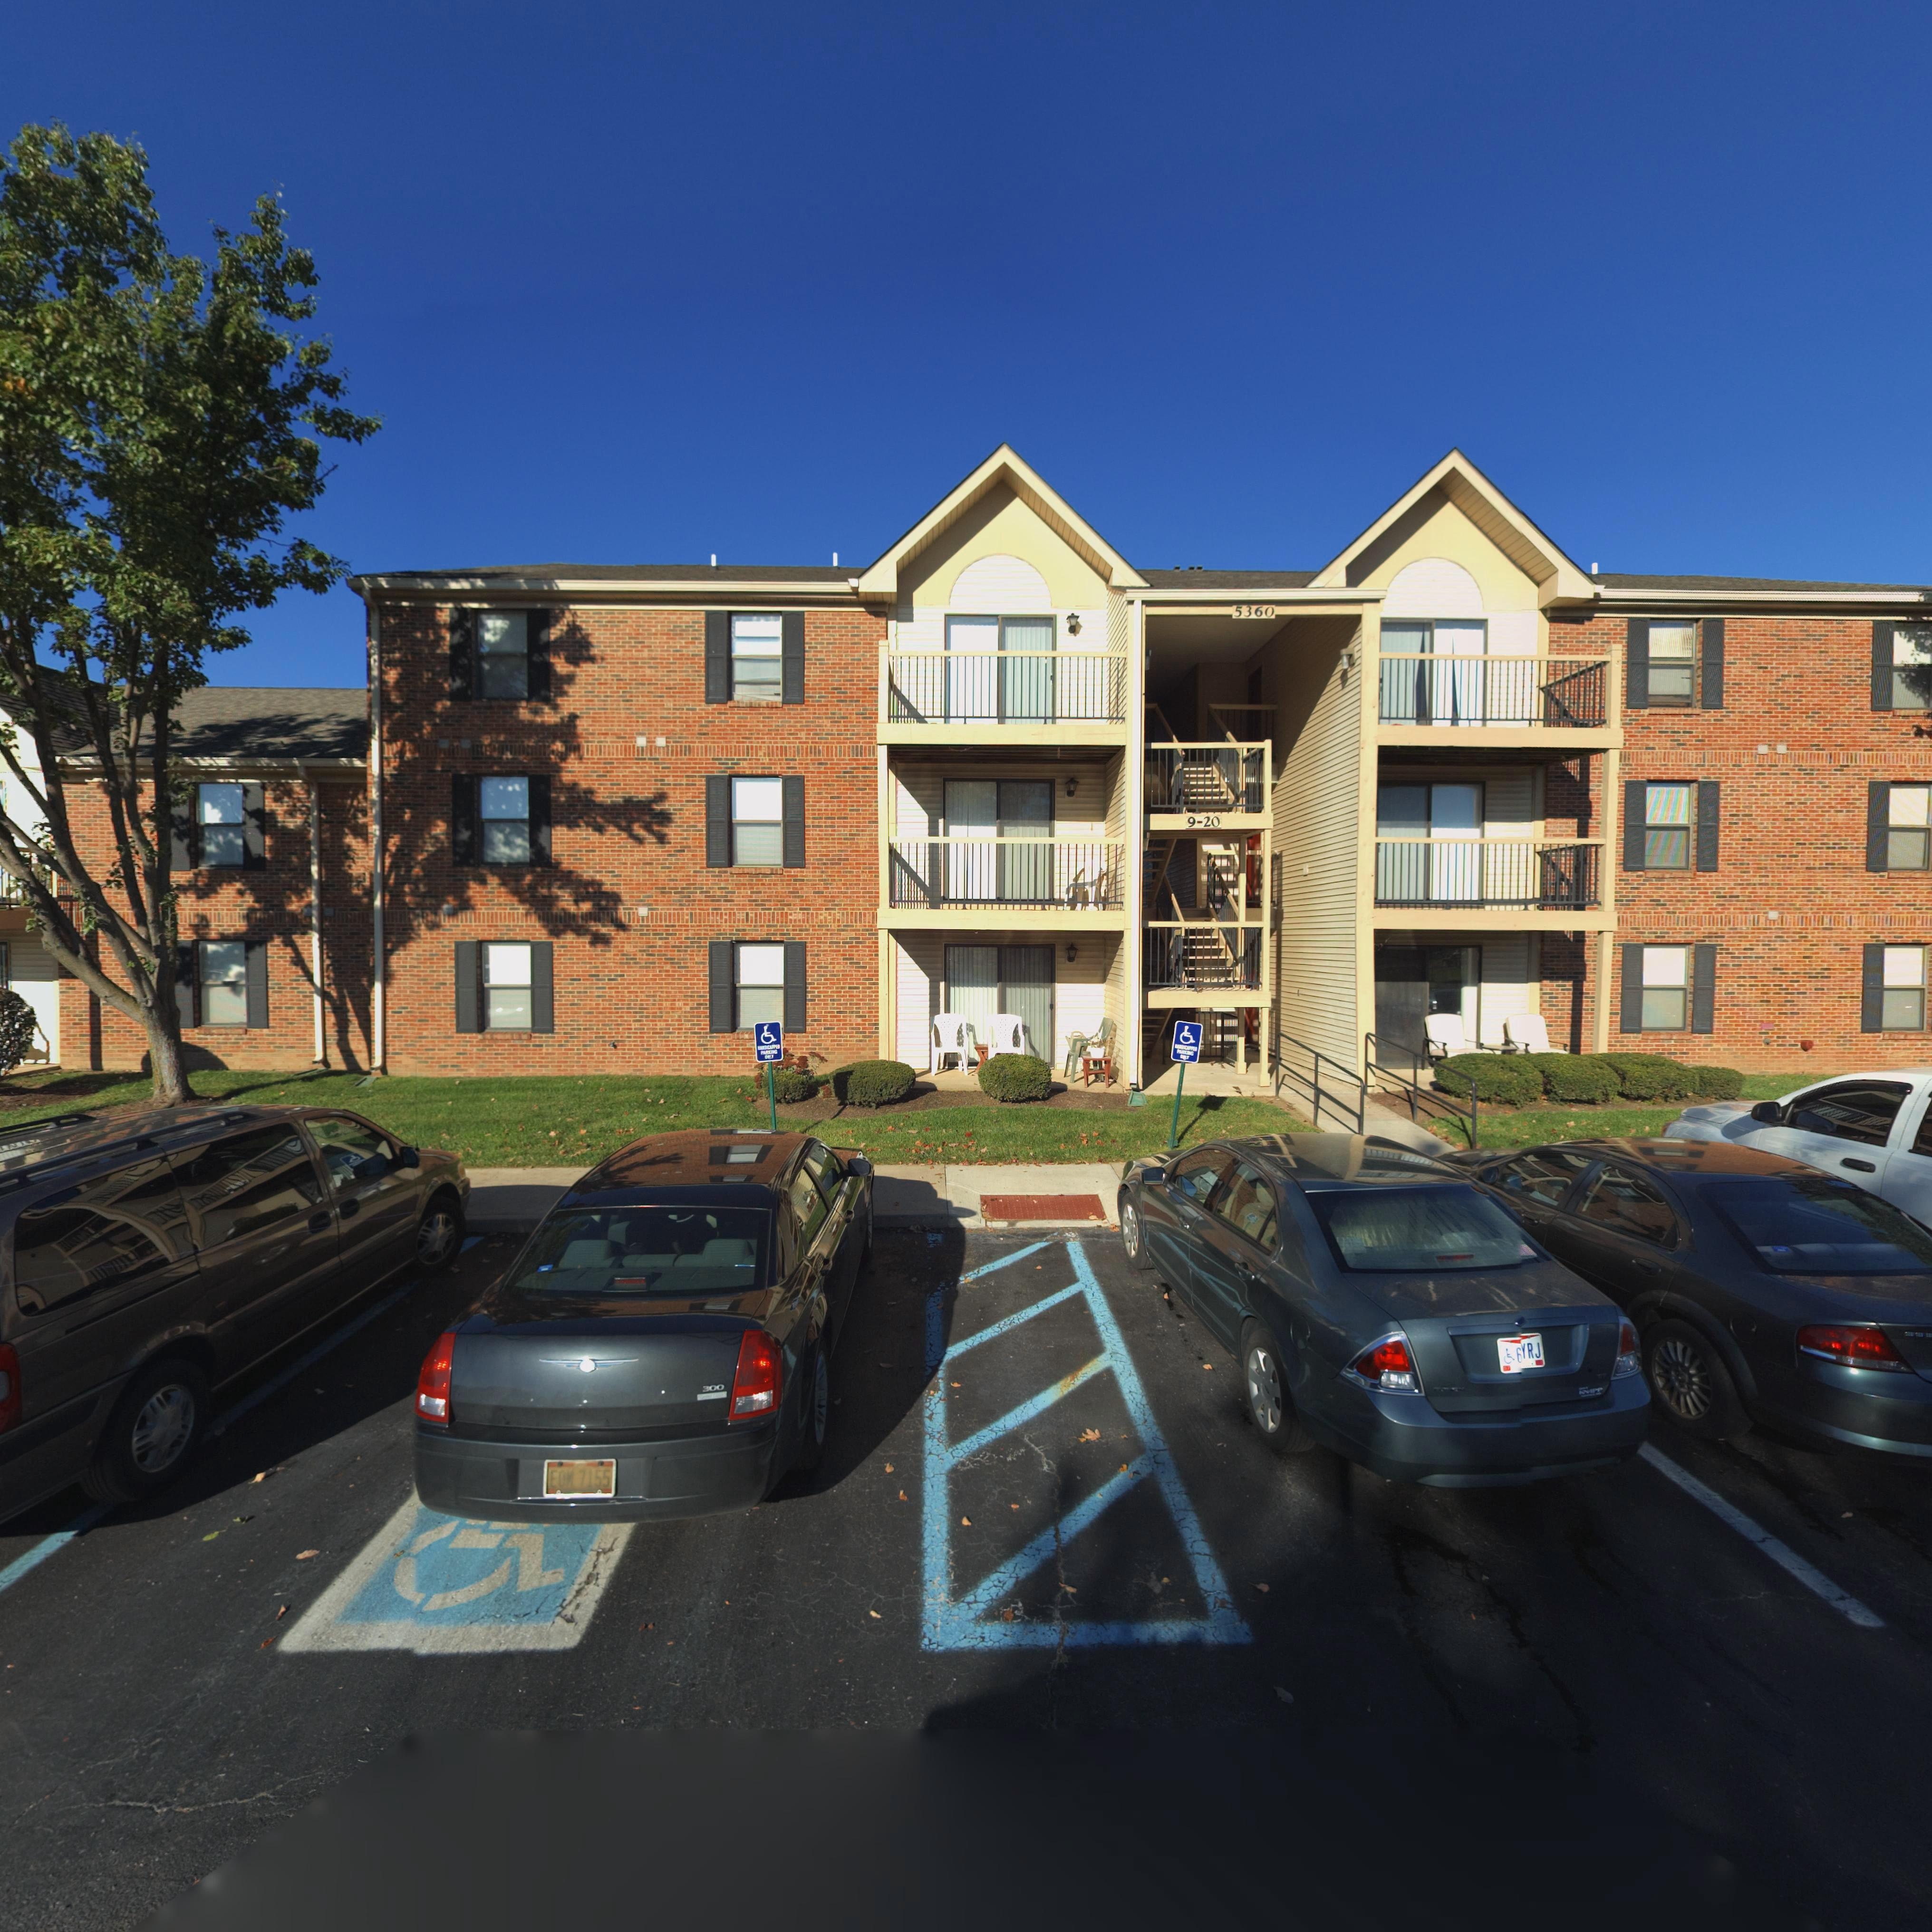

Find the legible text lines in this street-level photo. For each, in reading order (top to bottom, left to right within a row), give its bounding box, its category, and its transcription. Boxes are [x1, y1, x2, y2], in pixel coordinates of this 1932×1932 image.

[1233, 604, 1275, 619] StreetNumber: 5360
[1187, 815, 1222, 829] StreetNumber: 9-20